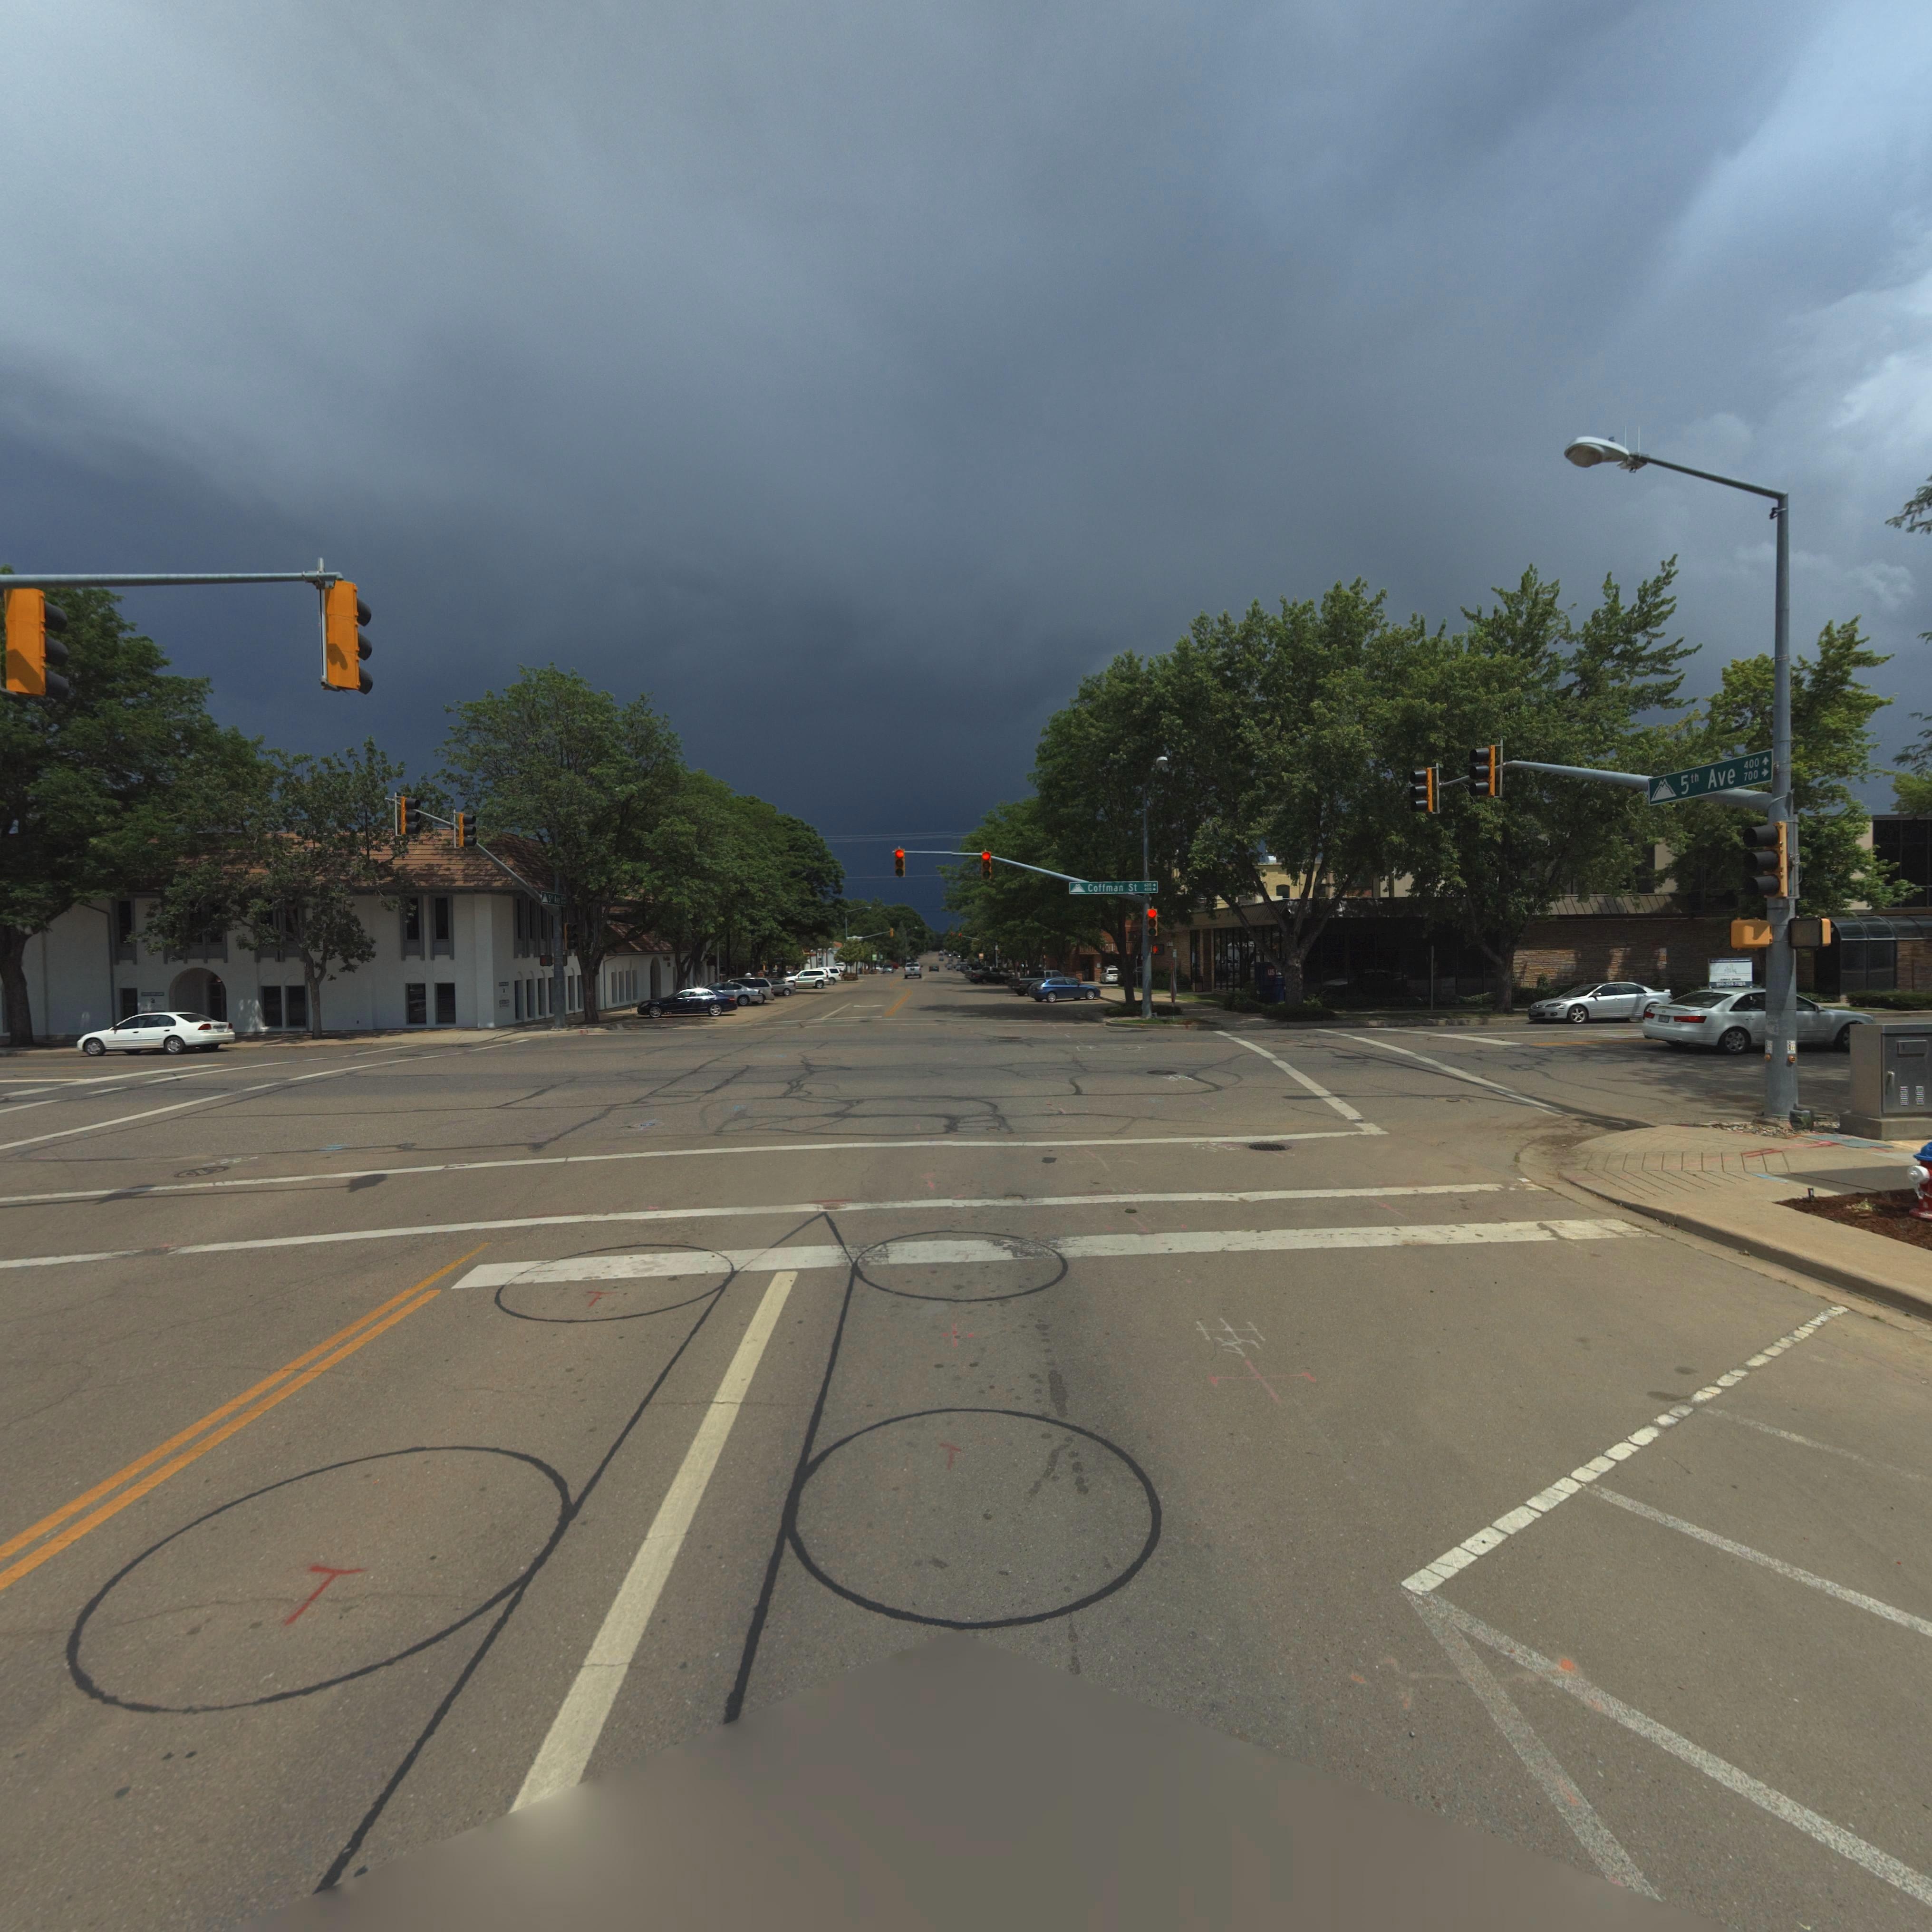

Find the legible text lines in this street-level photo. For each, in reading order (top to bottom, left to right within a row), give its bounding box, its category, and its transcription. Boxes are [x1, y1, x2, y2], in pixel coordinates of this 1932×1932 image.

[1743, 757, 1759, 769] StreetNumberRange: 400
[1743, 768, 1769, 781] StreetNumberRange: 700->
[1680, 768, 1736, 794] StreetName: 5th Ave
[1088, 883, 1137, 892] StreetName: Coffman St
[1143, 883, 1151, 887] StreetNumberRange: 600
[1143, 887, 1156, 891] StreetNumberRange: 400->
[1267, 968, 1275, 976] BusinessName: us